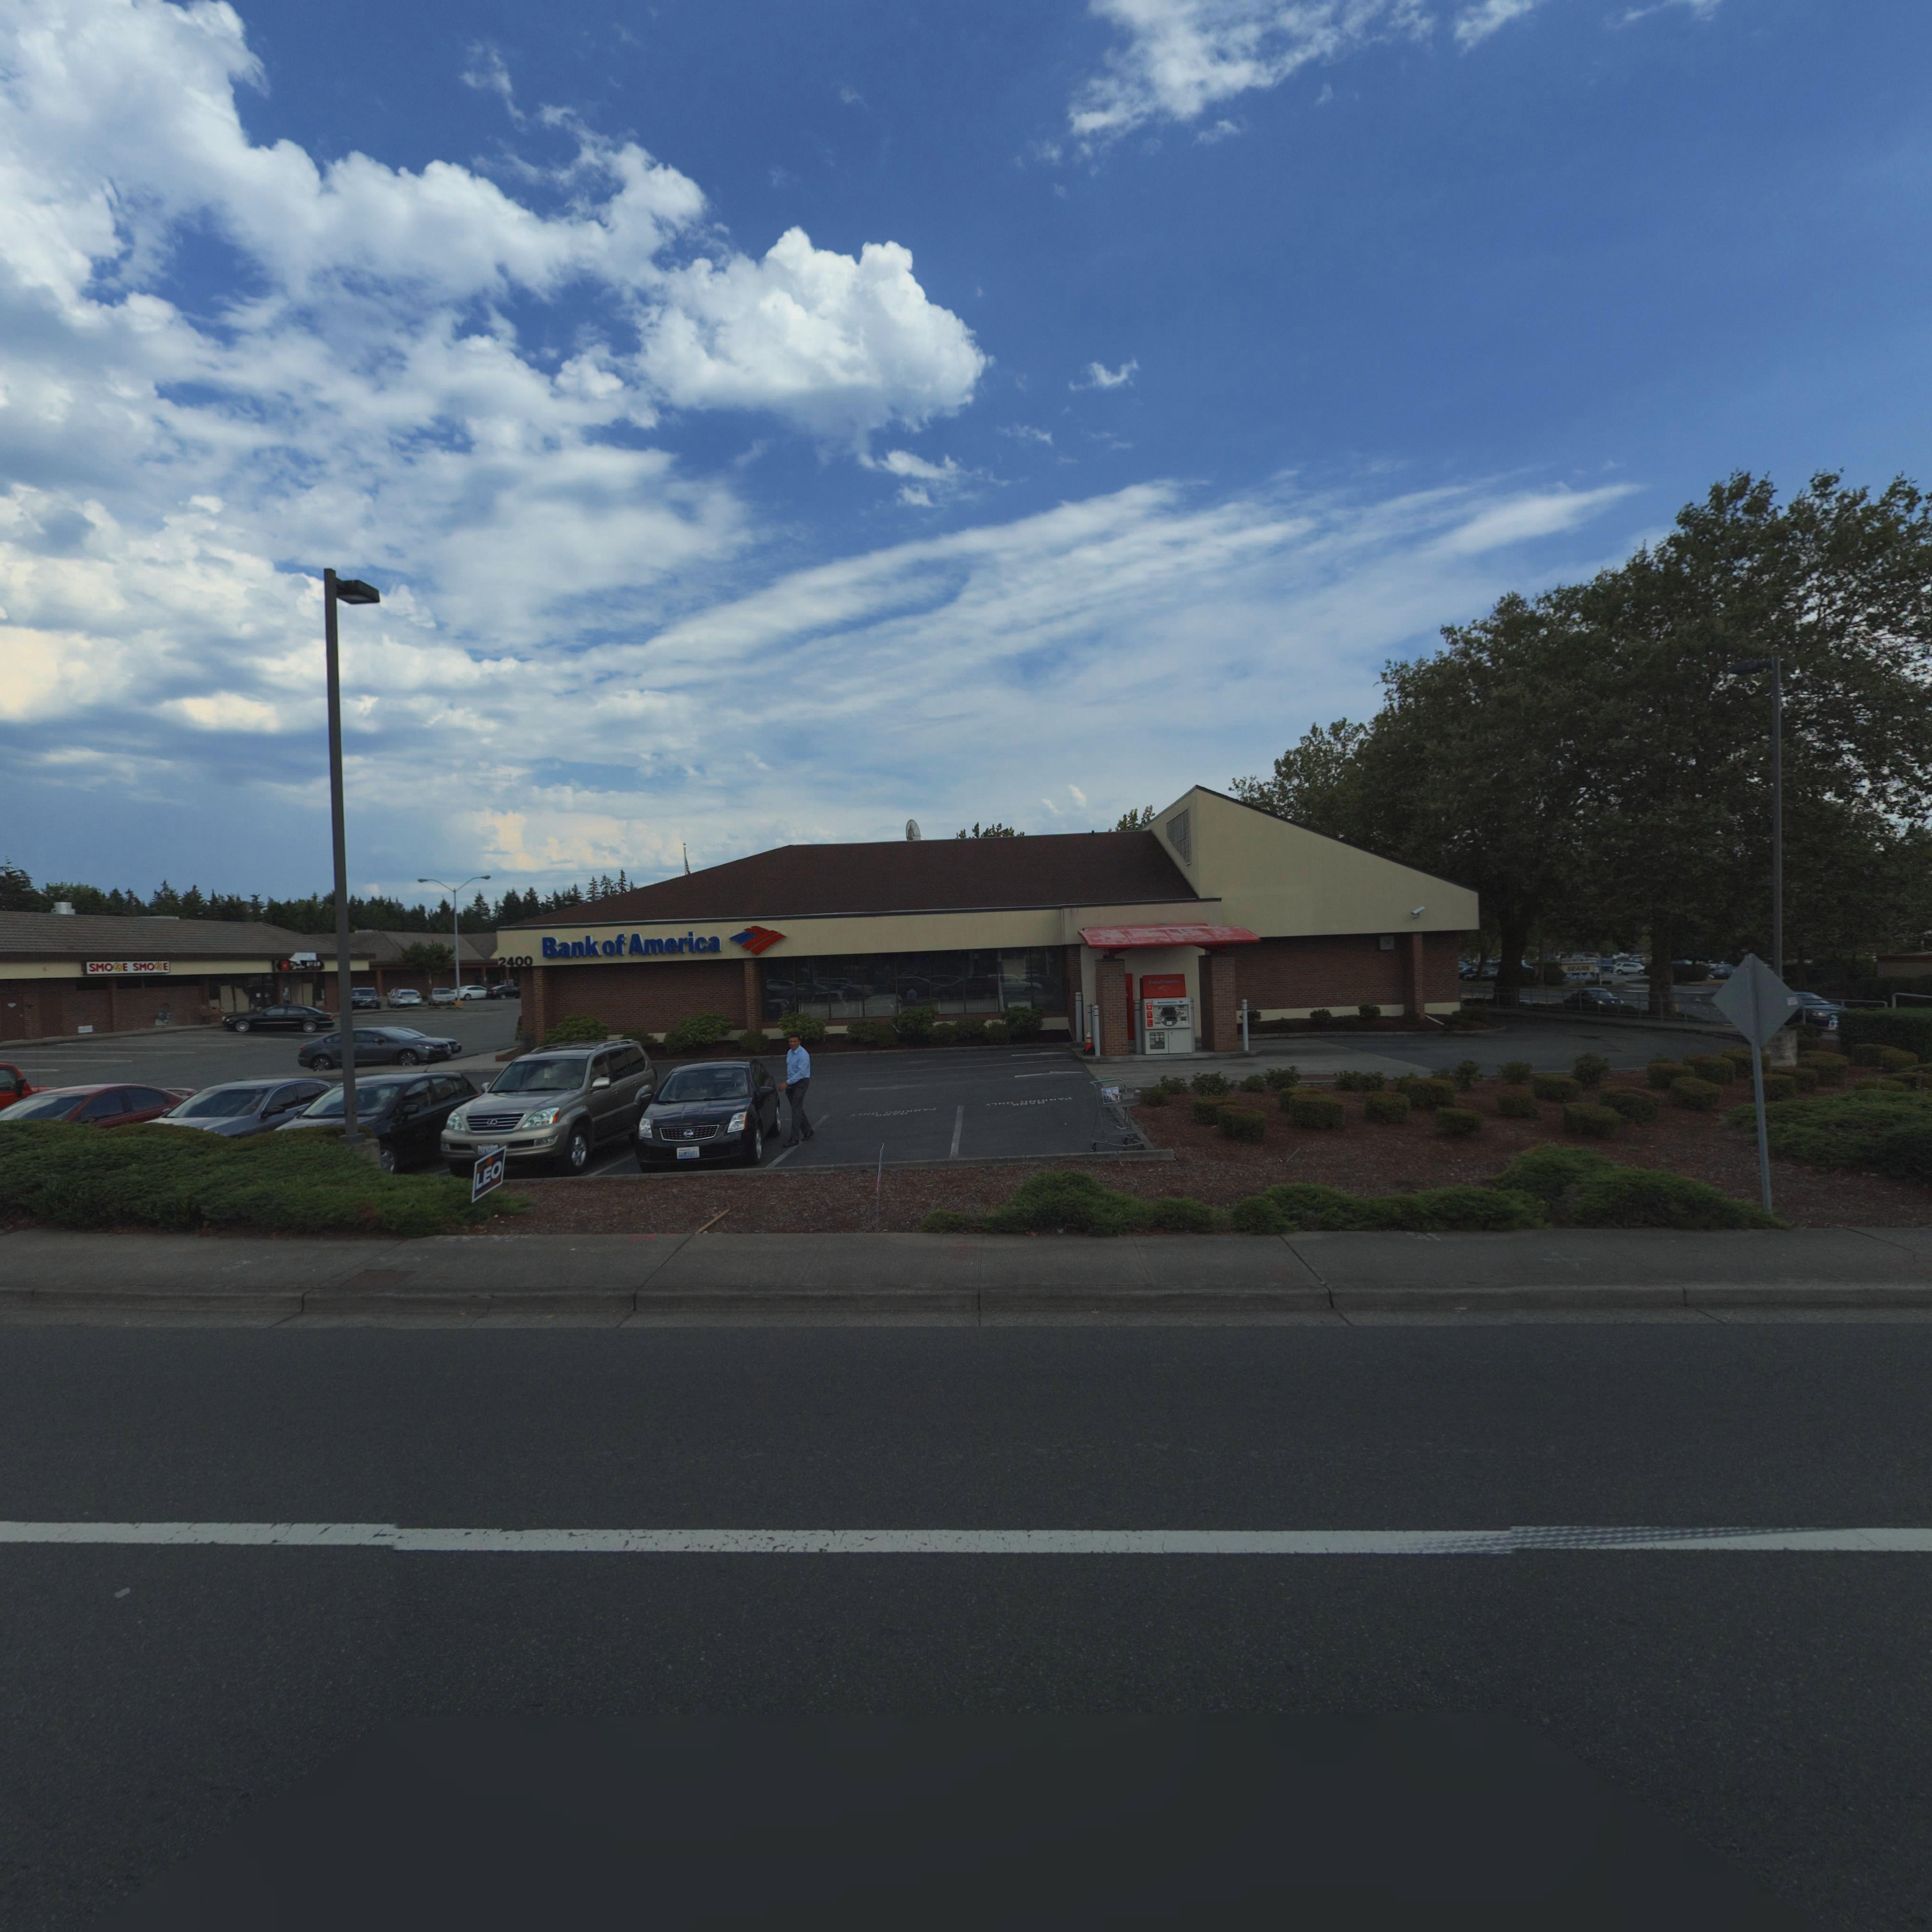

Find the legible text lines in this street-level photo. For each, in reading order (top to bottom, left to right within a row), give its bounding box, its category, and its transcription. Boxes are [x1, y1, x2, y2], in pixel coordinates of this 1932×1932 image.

[541, 930, 721, 958] BusinessName: Bank of America
[88, 962, 169, 972] BusinessName: SMO*E SMO*E
[1566, 965, 1590, 972] BusinessName: SEARS
[1563, 971, 1593, 979] BusinessName: Marshalls